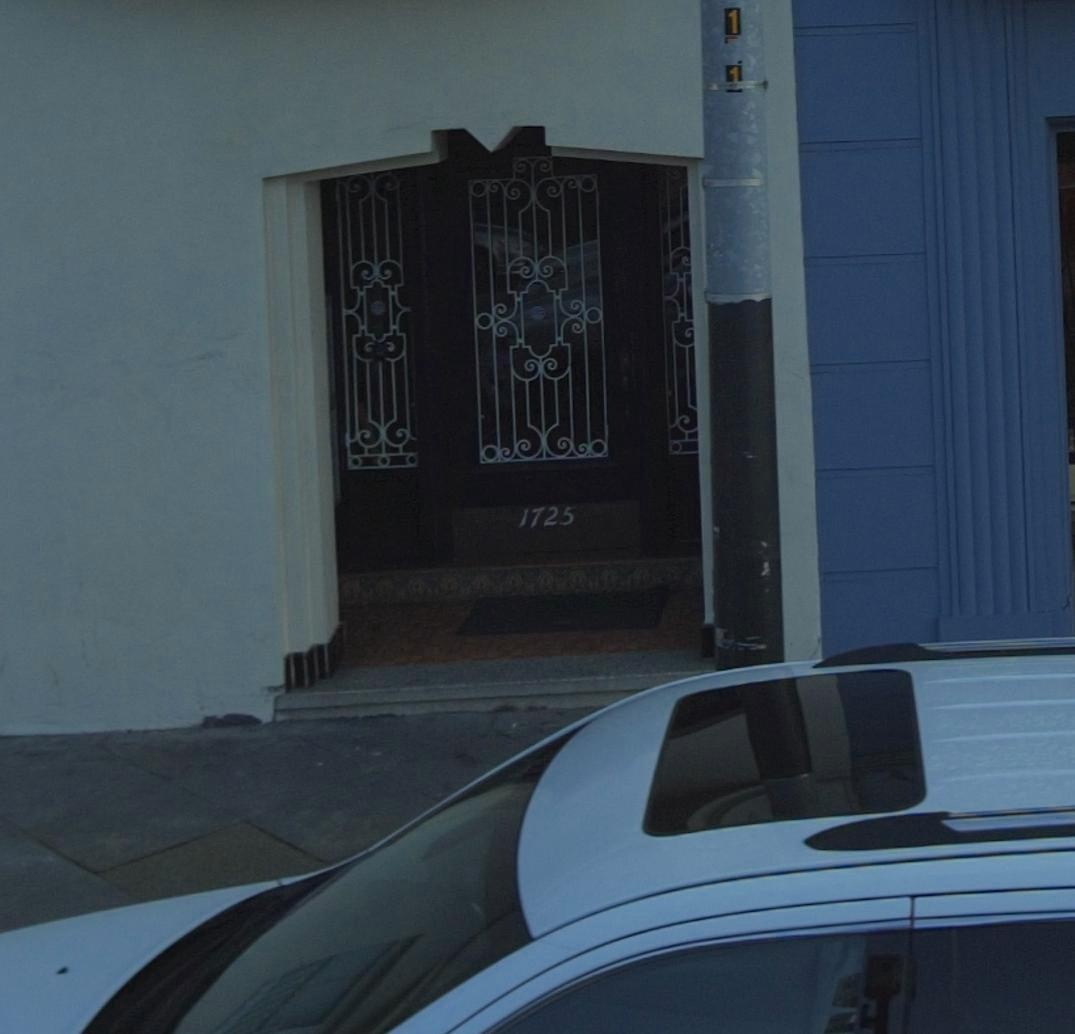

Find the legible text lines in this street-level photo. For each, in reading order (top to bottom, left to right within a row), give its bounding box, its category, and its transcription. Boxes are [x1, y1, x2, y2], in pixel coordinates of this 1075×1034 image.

[515, 504, 579, 531] StreetNumber: 1725